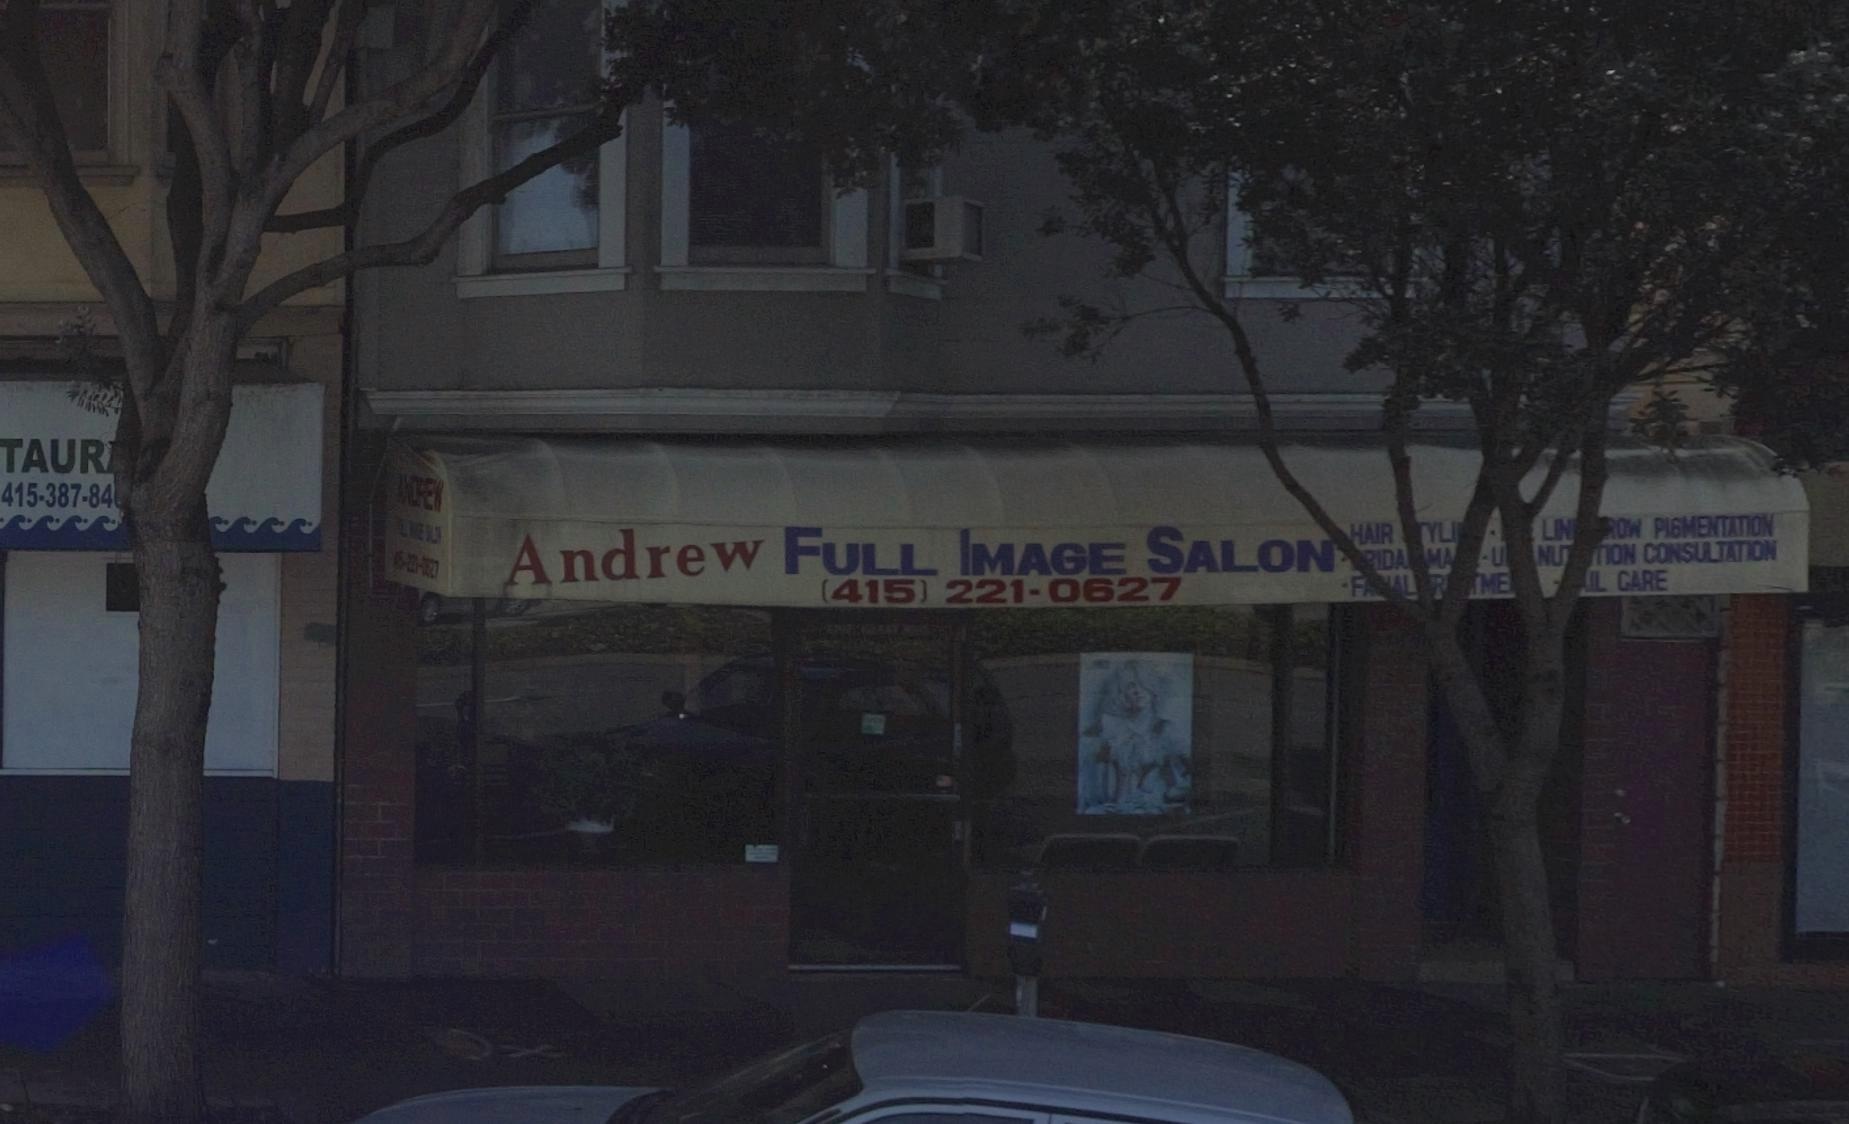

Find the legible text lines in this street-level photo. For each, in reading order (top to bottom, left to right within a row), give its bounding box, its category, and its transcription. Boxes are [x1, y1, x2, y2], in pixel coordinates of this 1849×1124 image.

[0, 437, 107, 474] None: TAUR
[0, 481, 114, 509] None: 415-387-84
[1349, 511, 1778, 546] None: HAIR *YLI*- *** LIN**ROW PIGMENTATION
[504, 525, 1338, 590] BusinessName: Andrew FULL IMAGE SALON
[1364, 538, 1779, 568] None: *IDA*MA - U*NU**TION CONSULTATION
[821, 577, 1182, 606] None: (415) 221-0627
[1349, 567, 1670, 599] None: FA**L R**ME* - *IL CARE